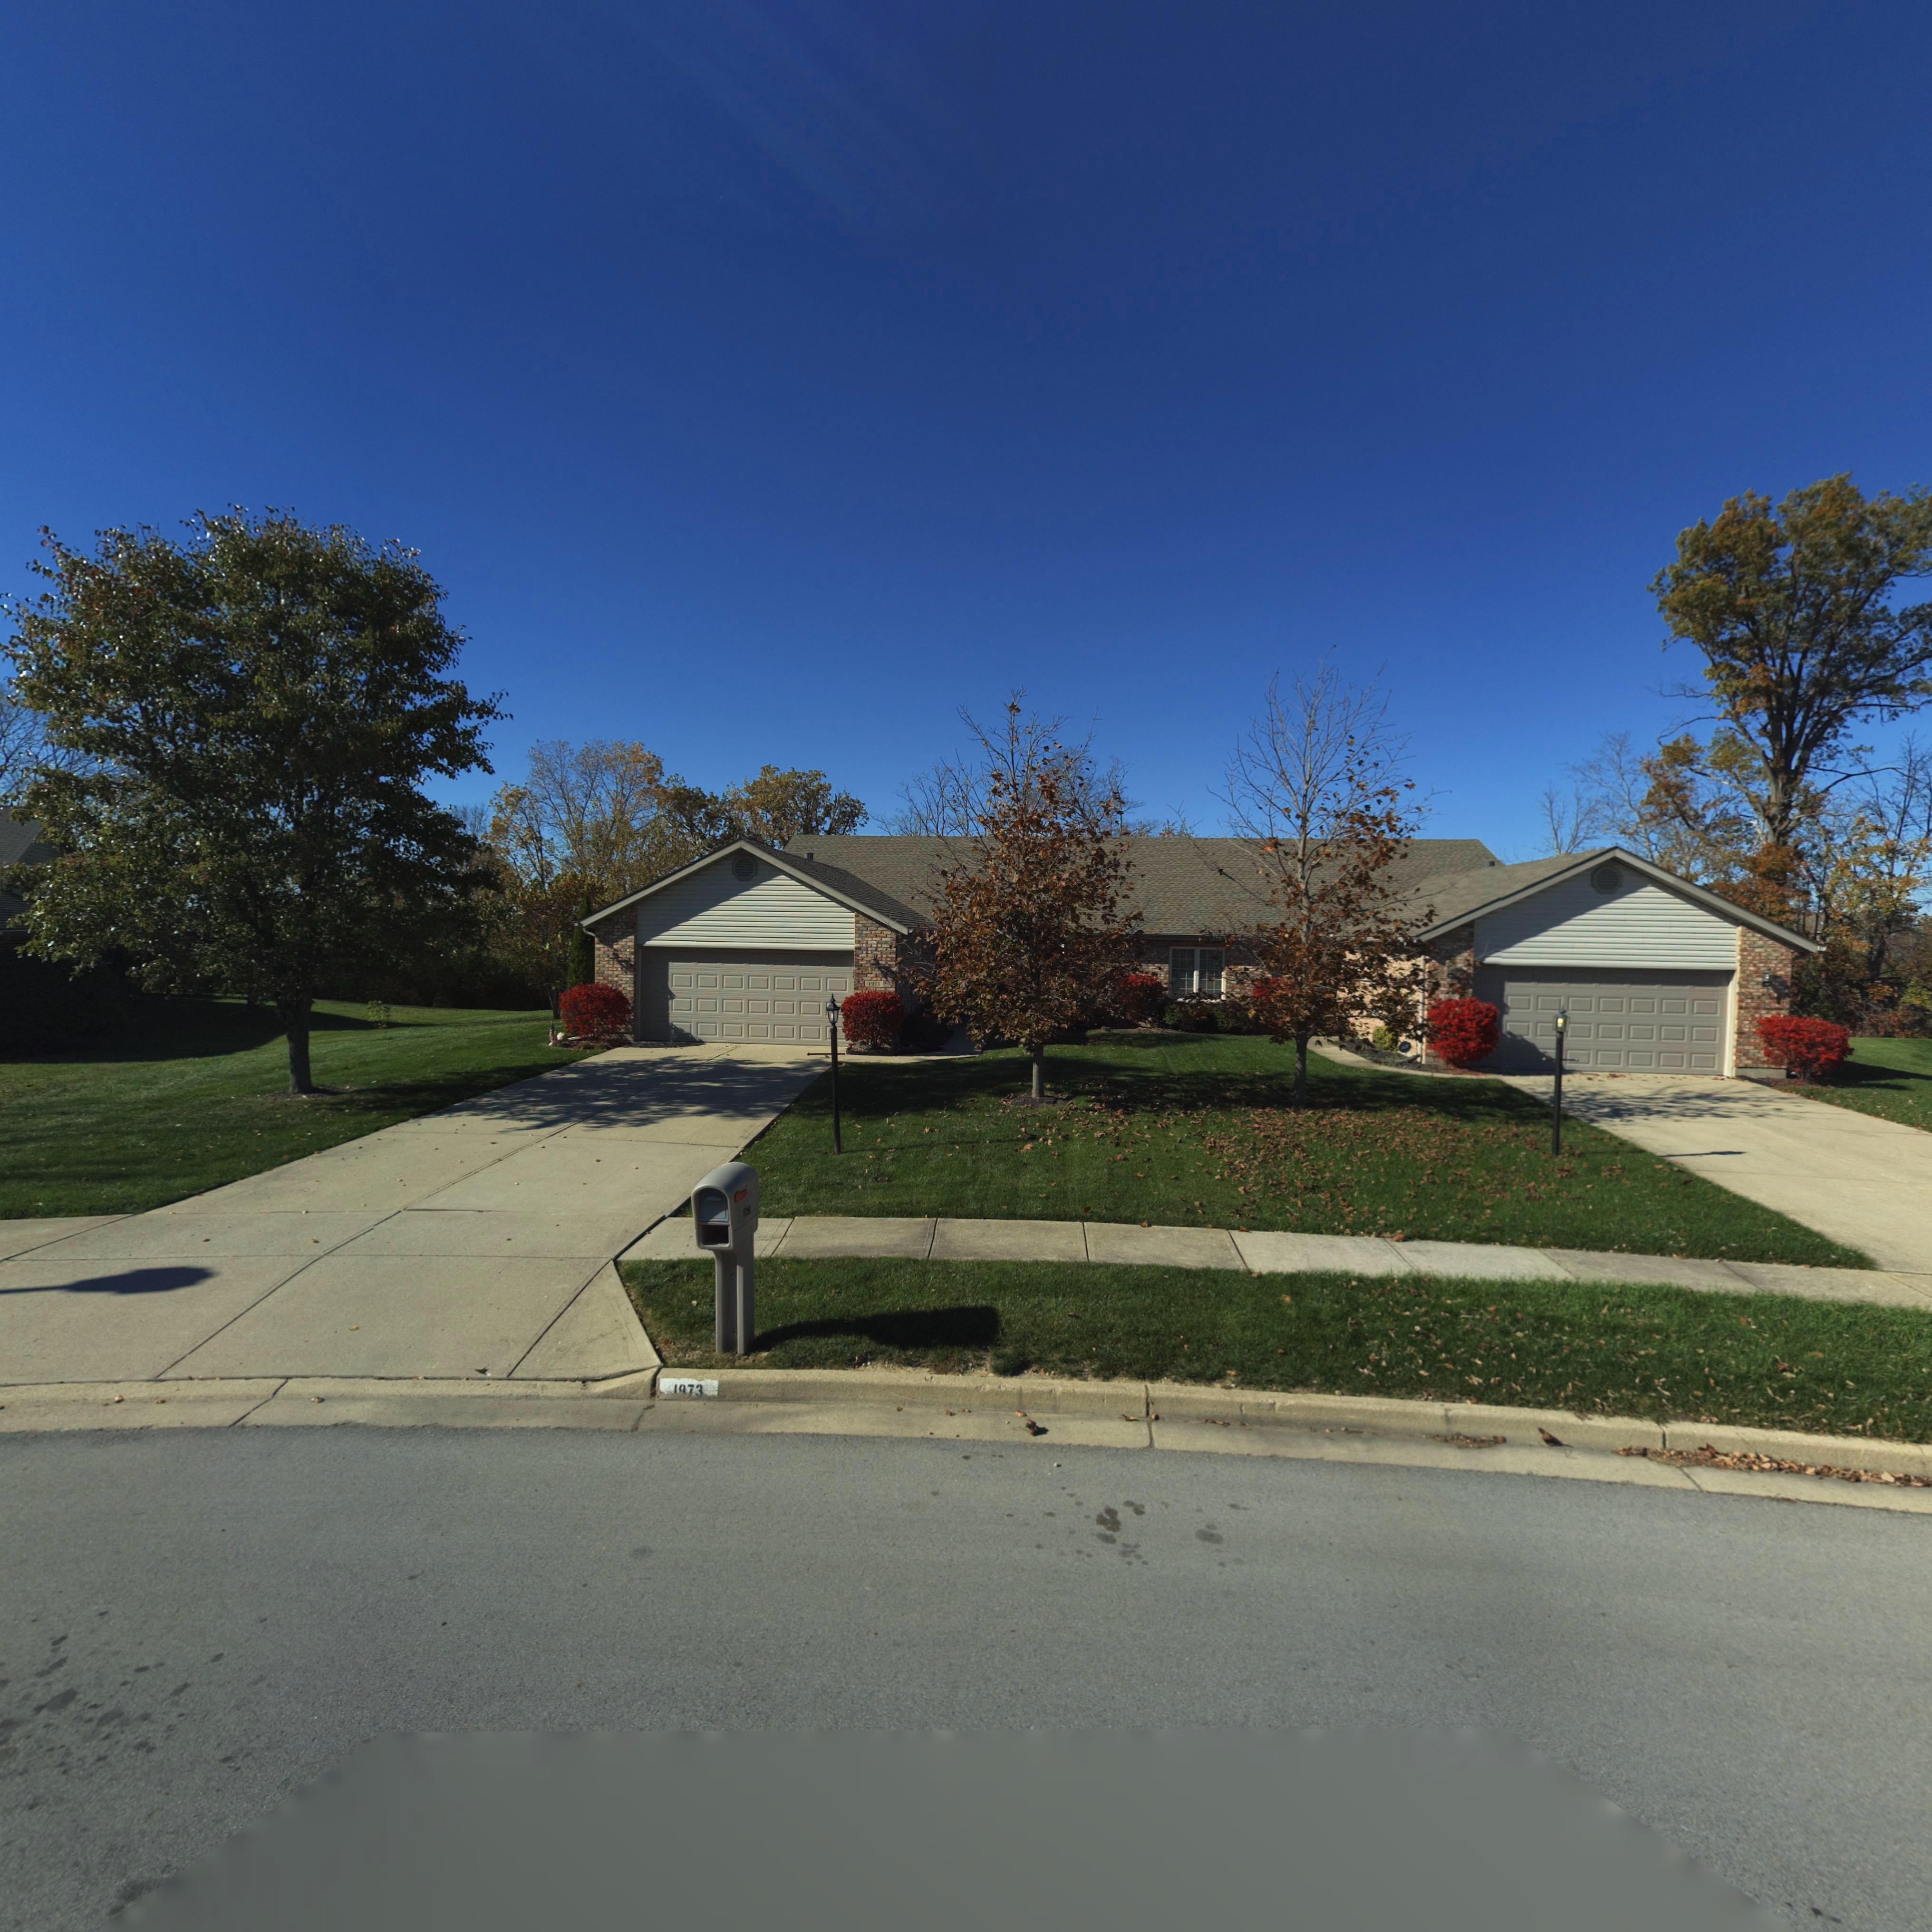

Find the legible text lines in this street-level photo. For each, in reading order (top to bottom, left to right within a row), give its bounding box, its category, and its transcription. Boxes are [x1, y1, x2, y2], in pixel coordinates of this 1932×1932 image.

[868, 981, 881, 987] StreetNumber: 19**
[673, 1382, 705, 1398] StreetNumber: **73